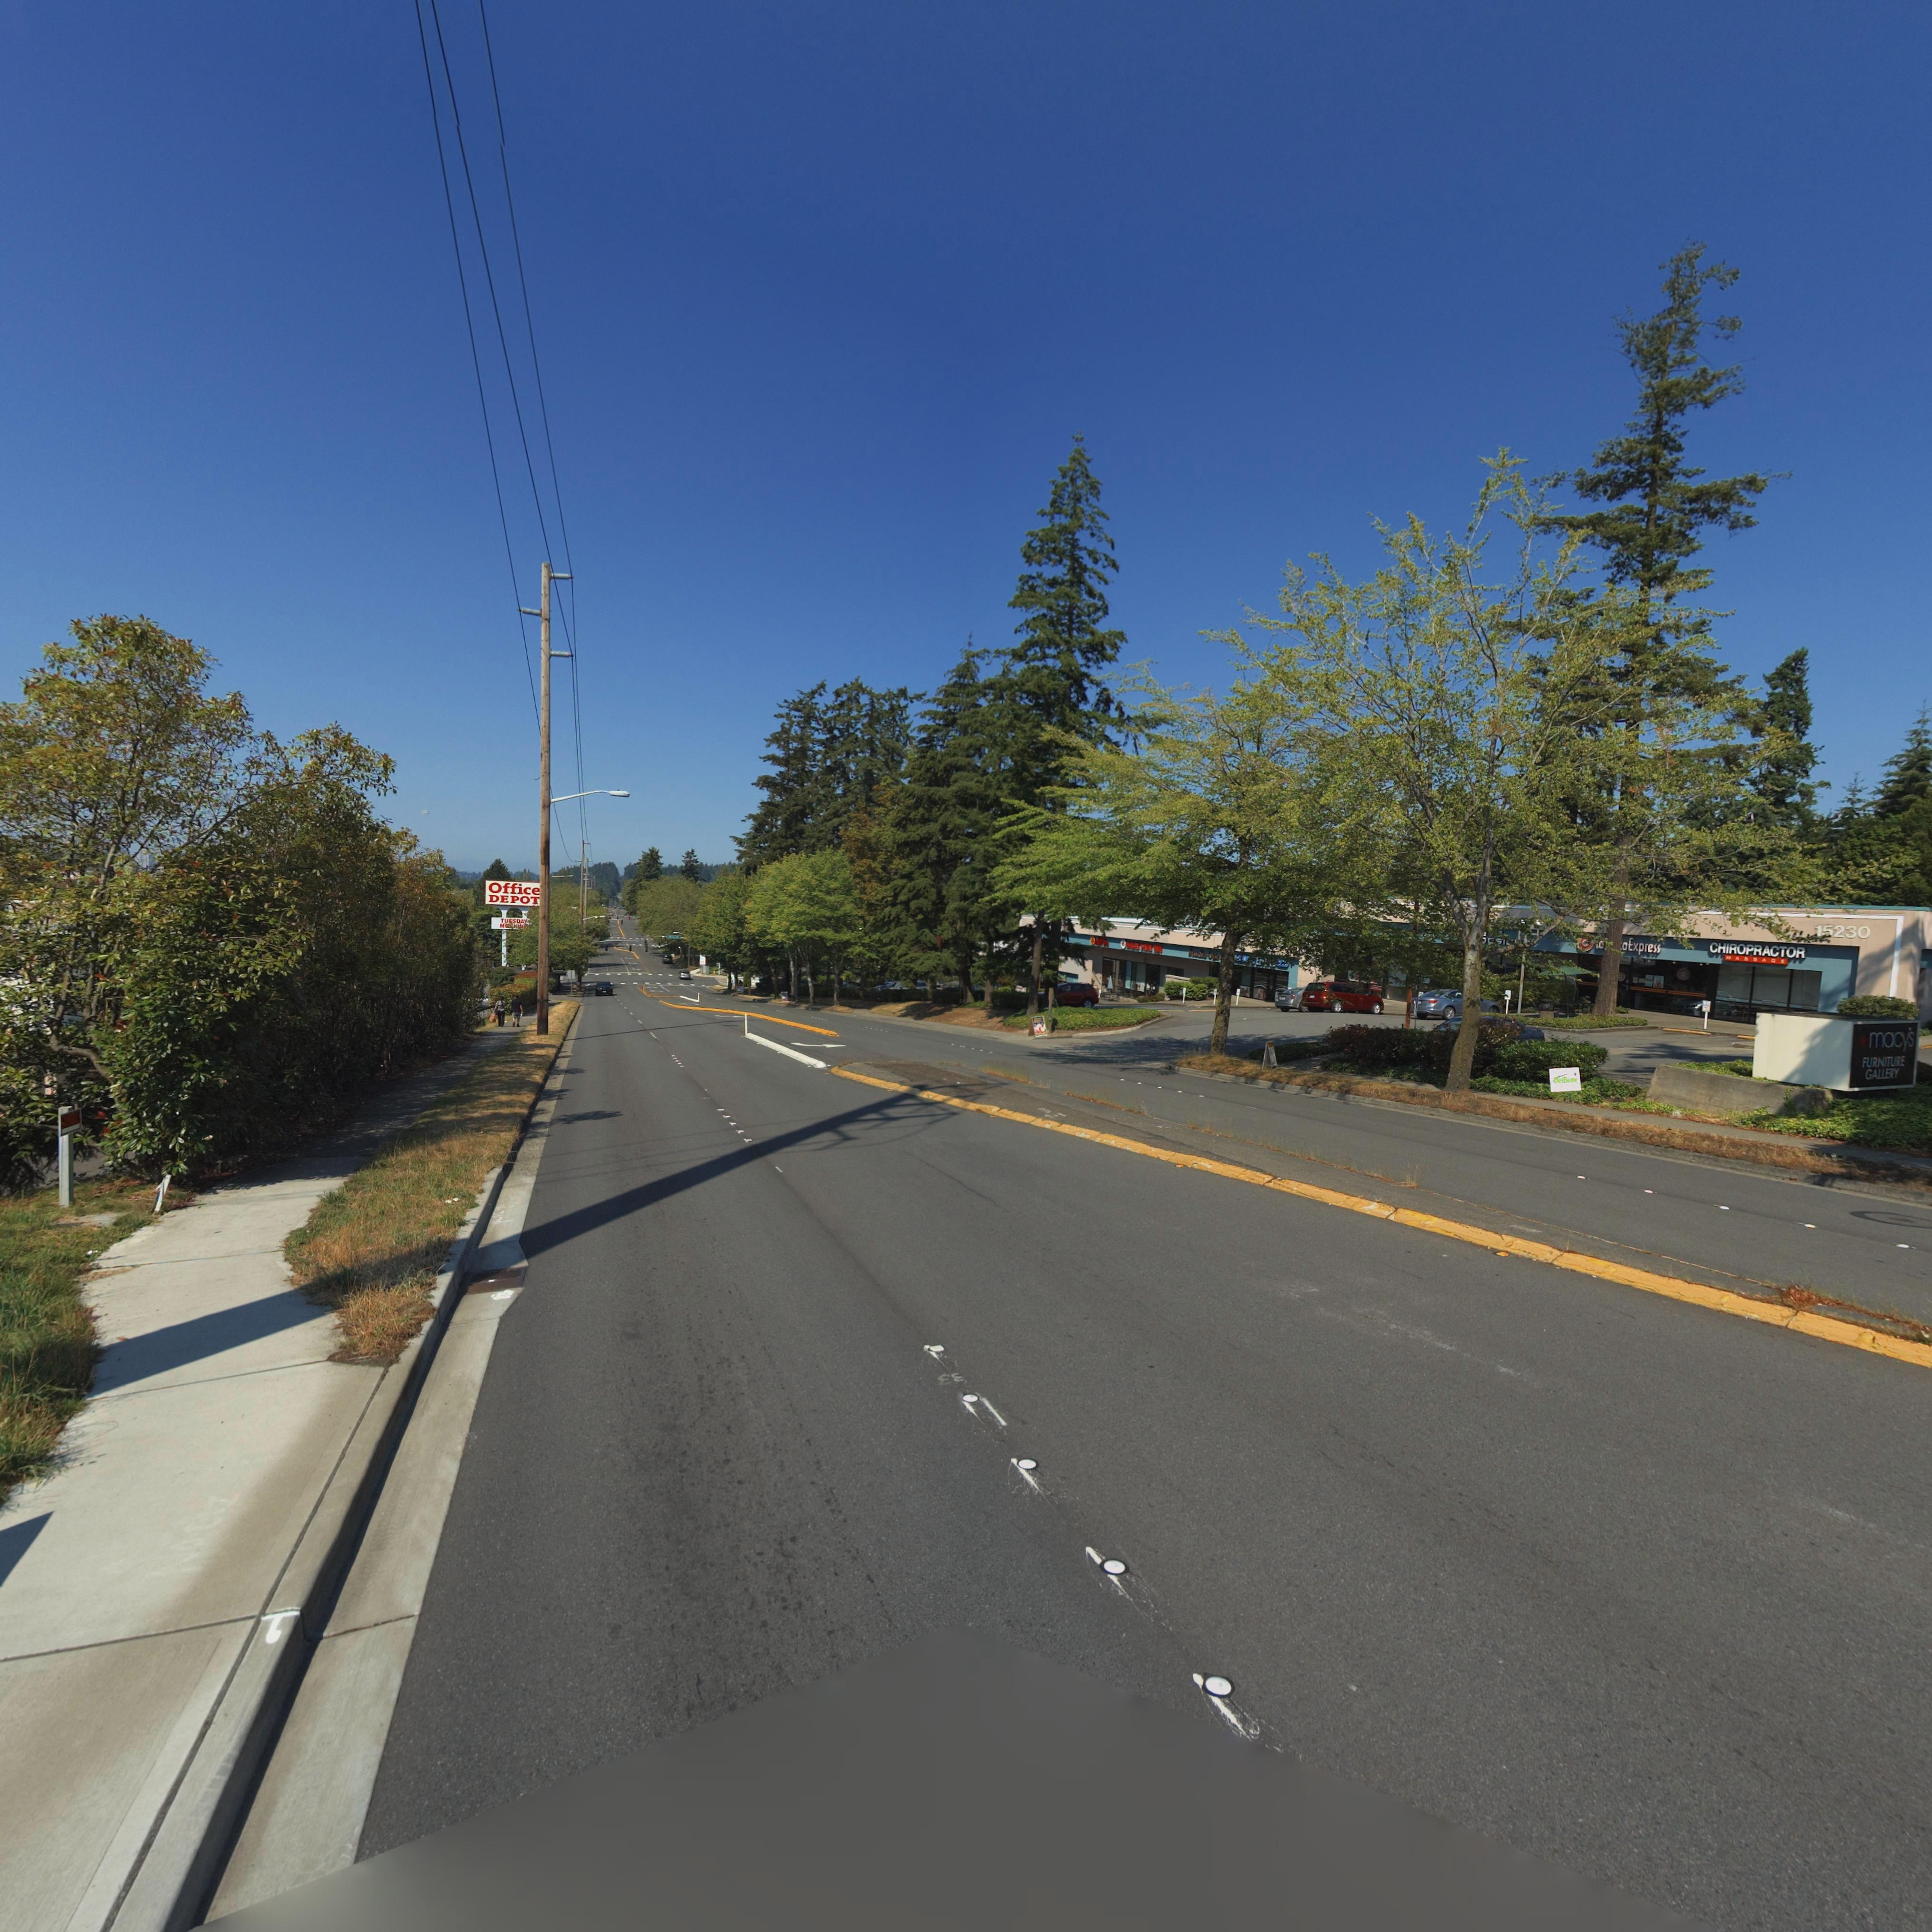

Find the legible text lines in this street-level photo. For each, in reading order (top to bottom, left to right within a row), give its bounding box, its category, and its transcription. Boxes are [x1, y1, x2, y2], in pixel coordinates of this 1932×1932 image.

[488, 882, 541, 896] BusinessName: Office
[488, 895, 539, 904] BusinessName: DEPOT
[1709, 941, 1807, 959] BusinessName: CHIROPRACTOR
[1867, 1028, 1915, 1050] BusinessName: macy's
[1864, 1067, 1901, 1079] BusinessName: GALLERY